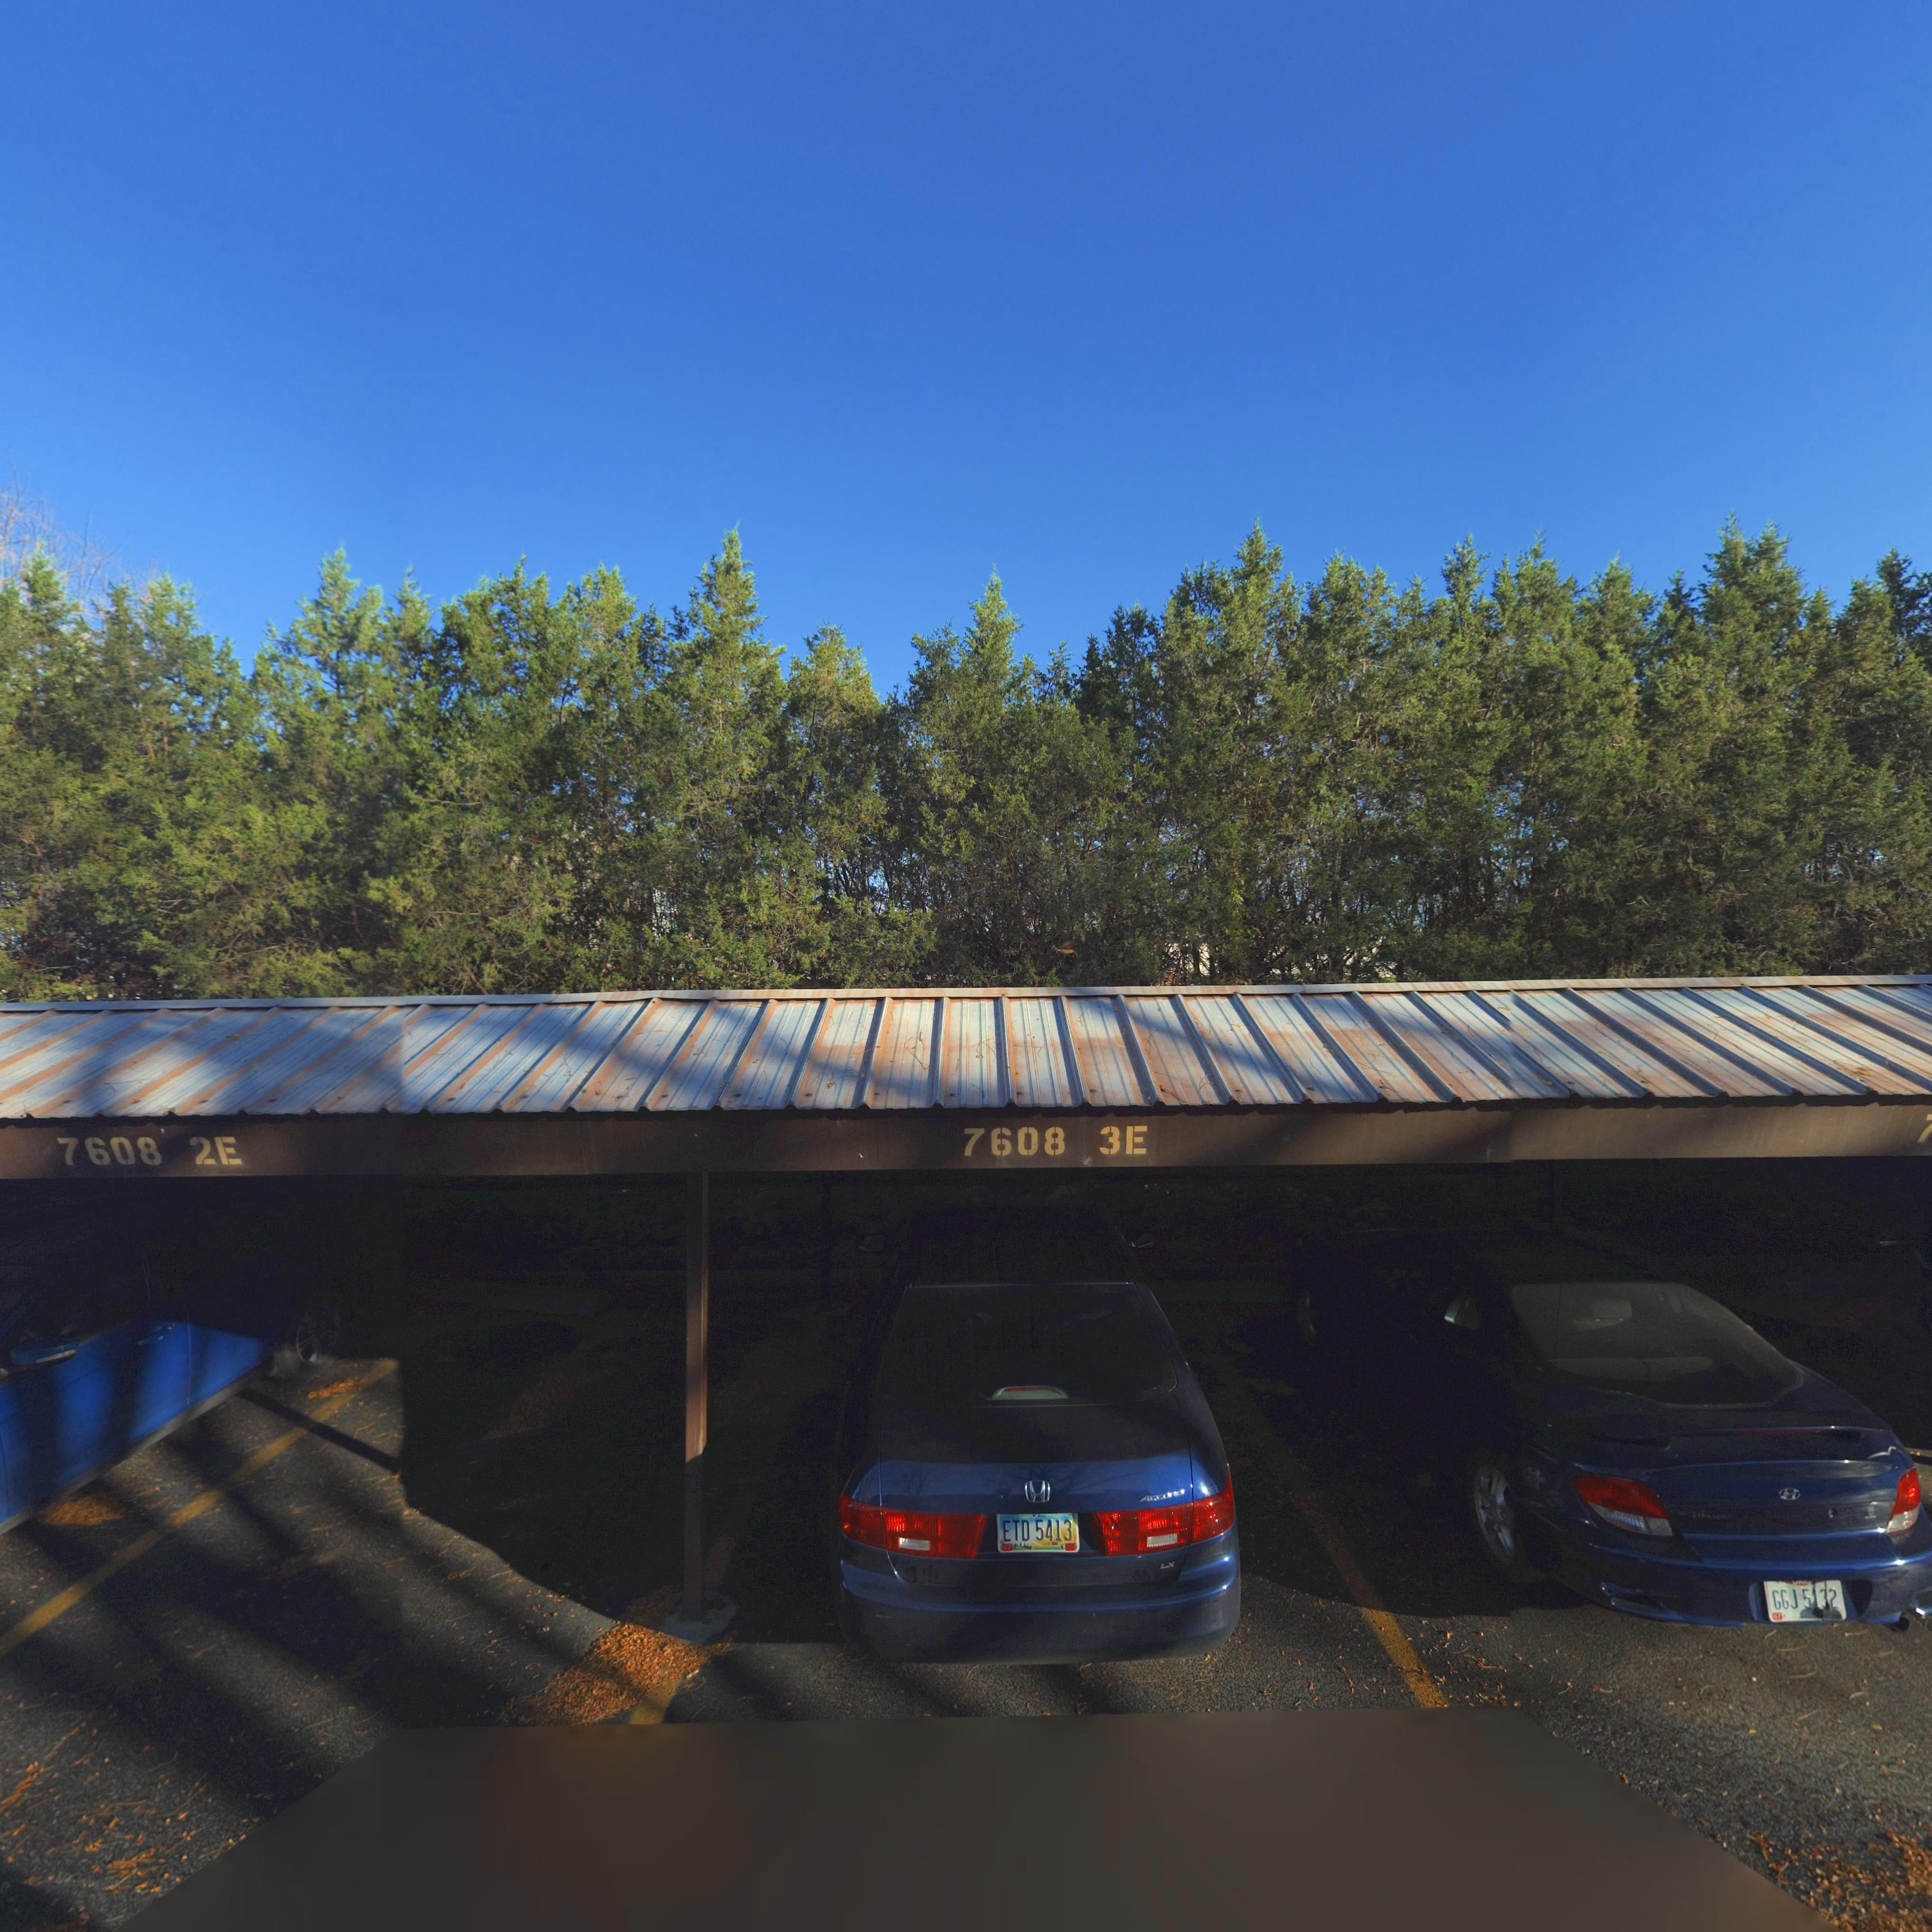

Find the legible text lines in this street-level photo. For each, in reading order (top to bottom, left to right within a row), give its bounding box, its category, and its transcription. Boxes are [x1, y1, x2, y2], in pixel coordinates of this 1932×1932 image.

[54, 1135, 165, 1169] StreetNumber: 7608
[187, 1134, 245, 1167] StreetNumber: 2E
[962, 1122, 1068, 1158] StreetNumber: 7608
[1097, 1122, 1150, 1157] StreetNumber: 3E